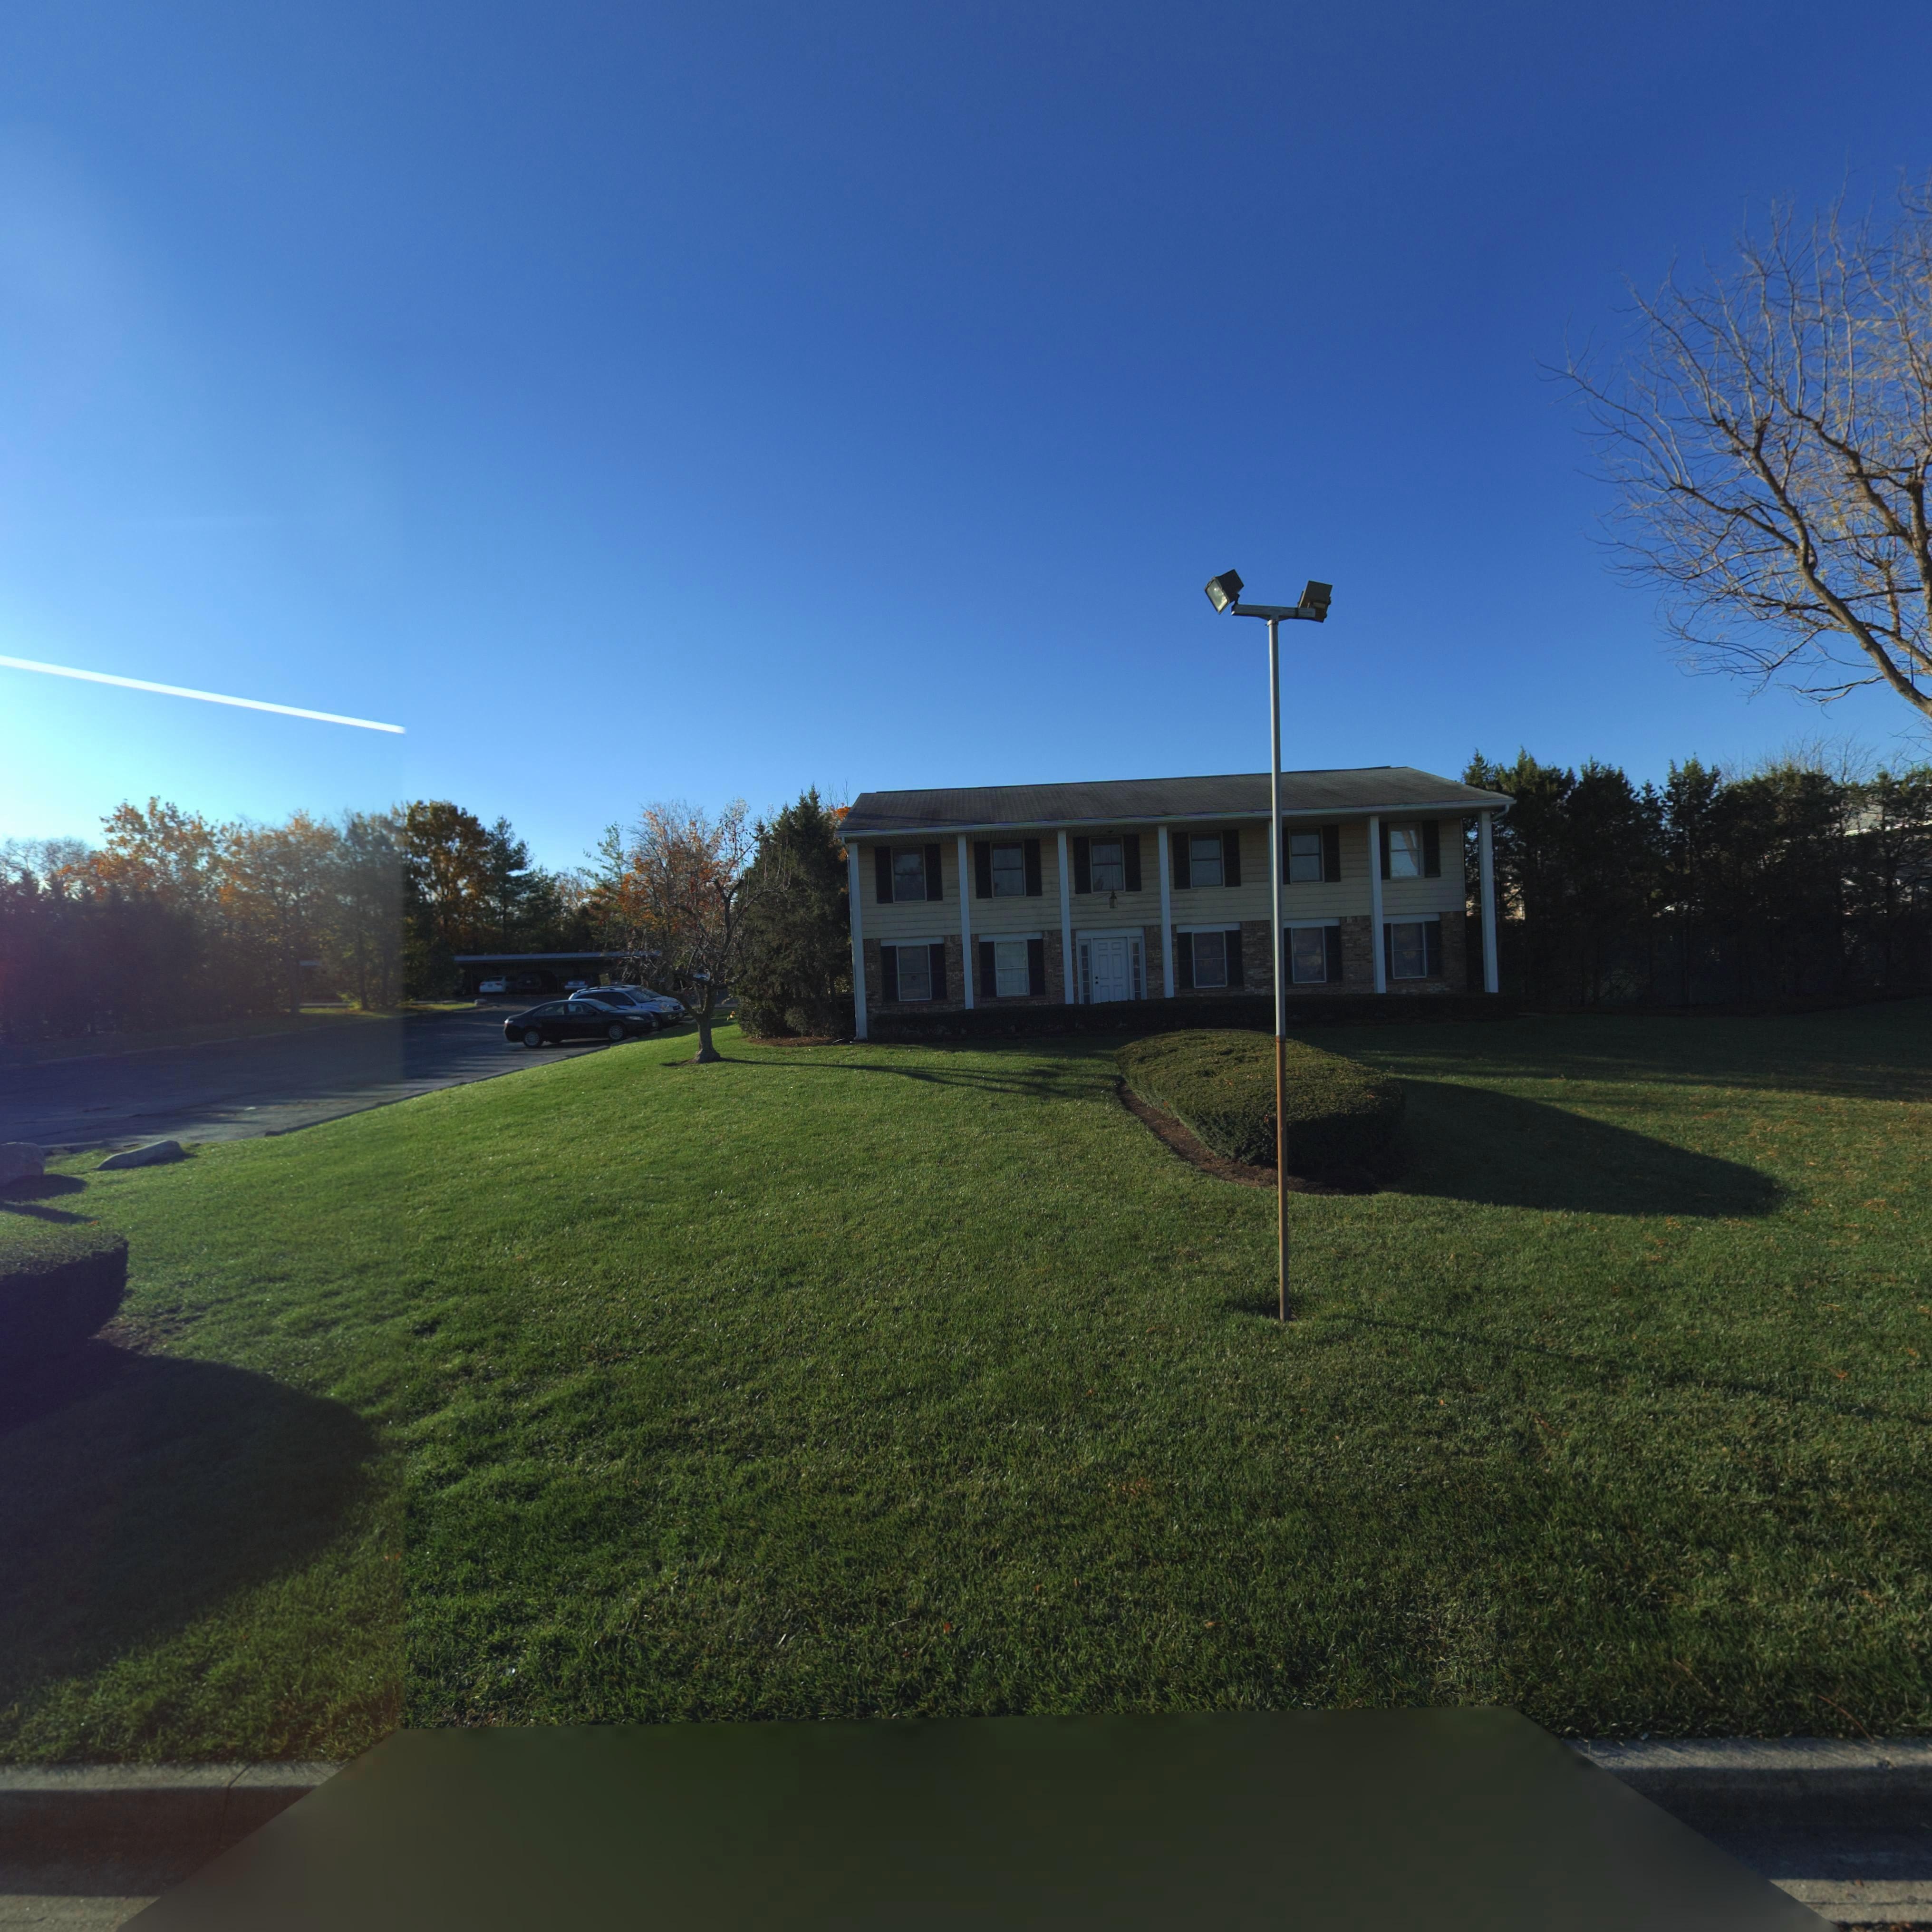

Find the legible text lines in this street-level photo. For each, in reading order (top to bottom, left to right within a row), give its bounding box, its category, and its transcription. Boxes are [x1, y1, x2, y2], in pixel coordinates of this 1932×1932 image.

[1148, 950, 1162, 958] StreetNumber: 55